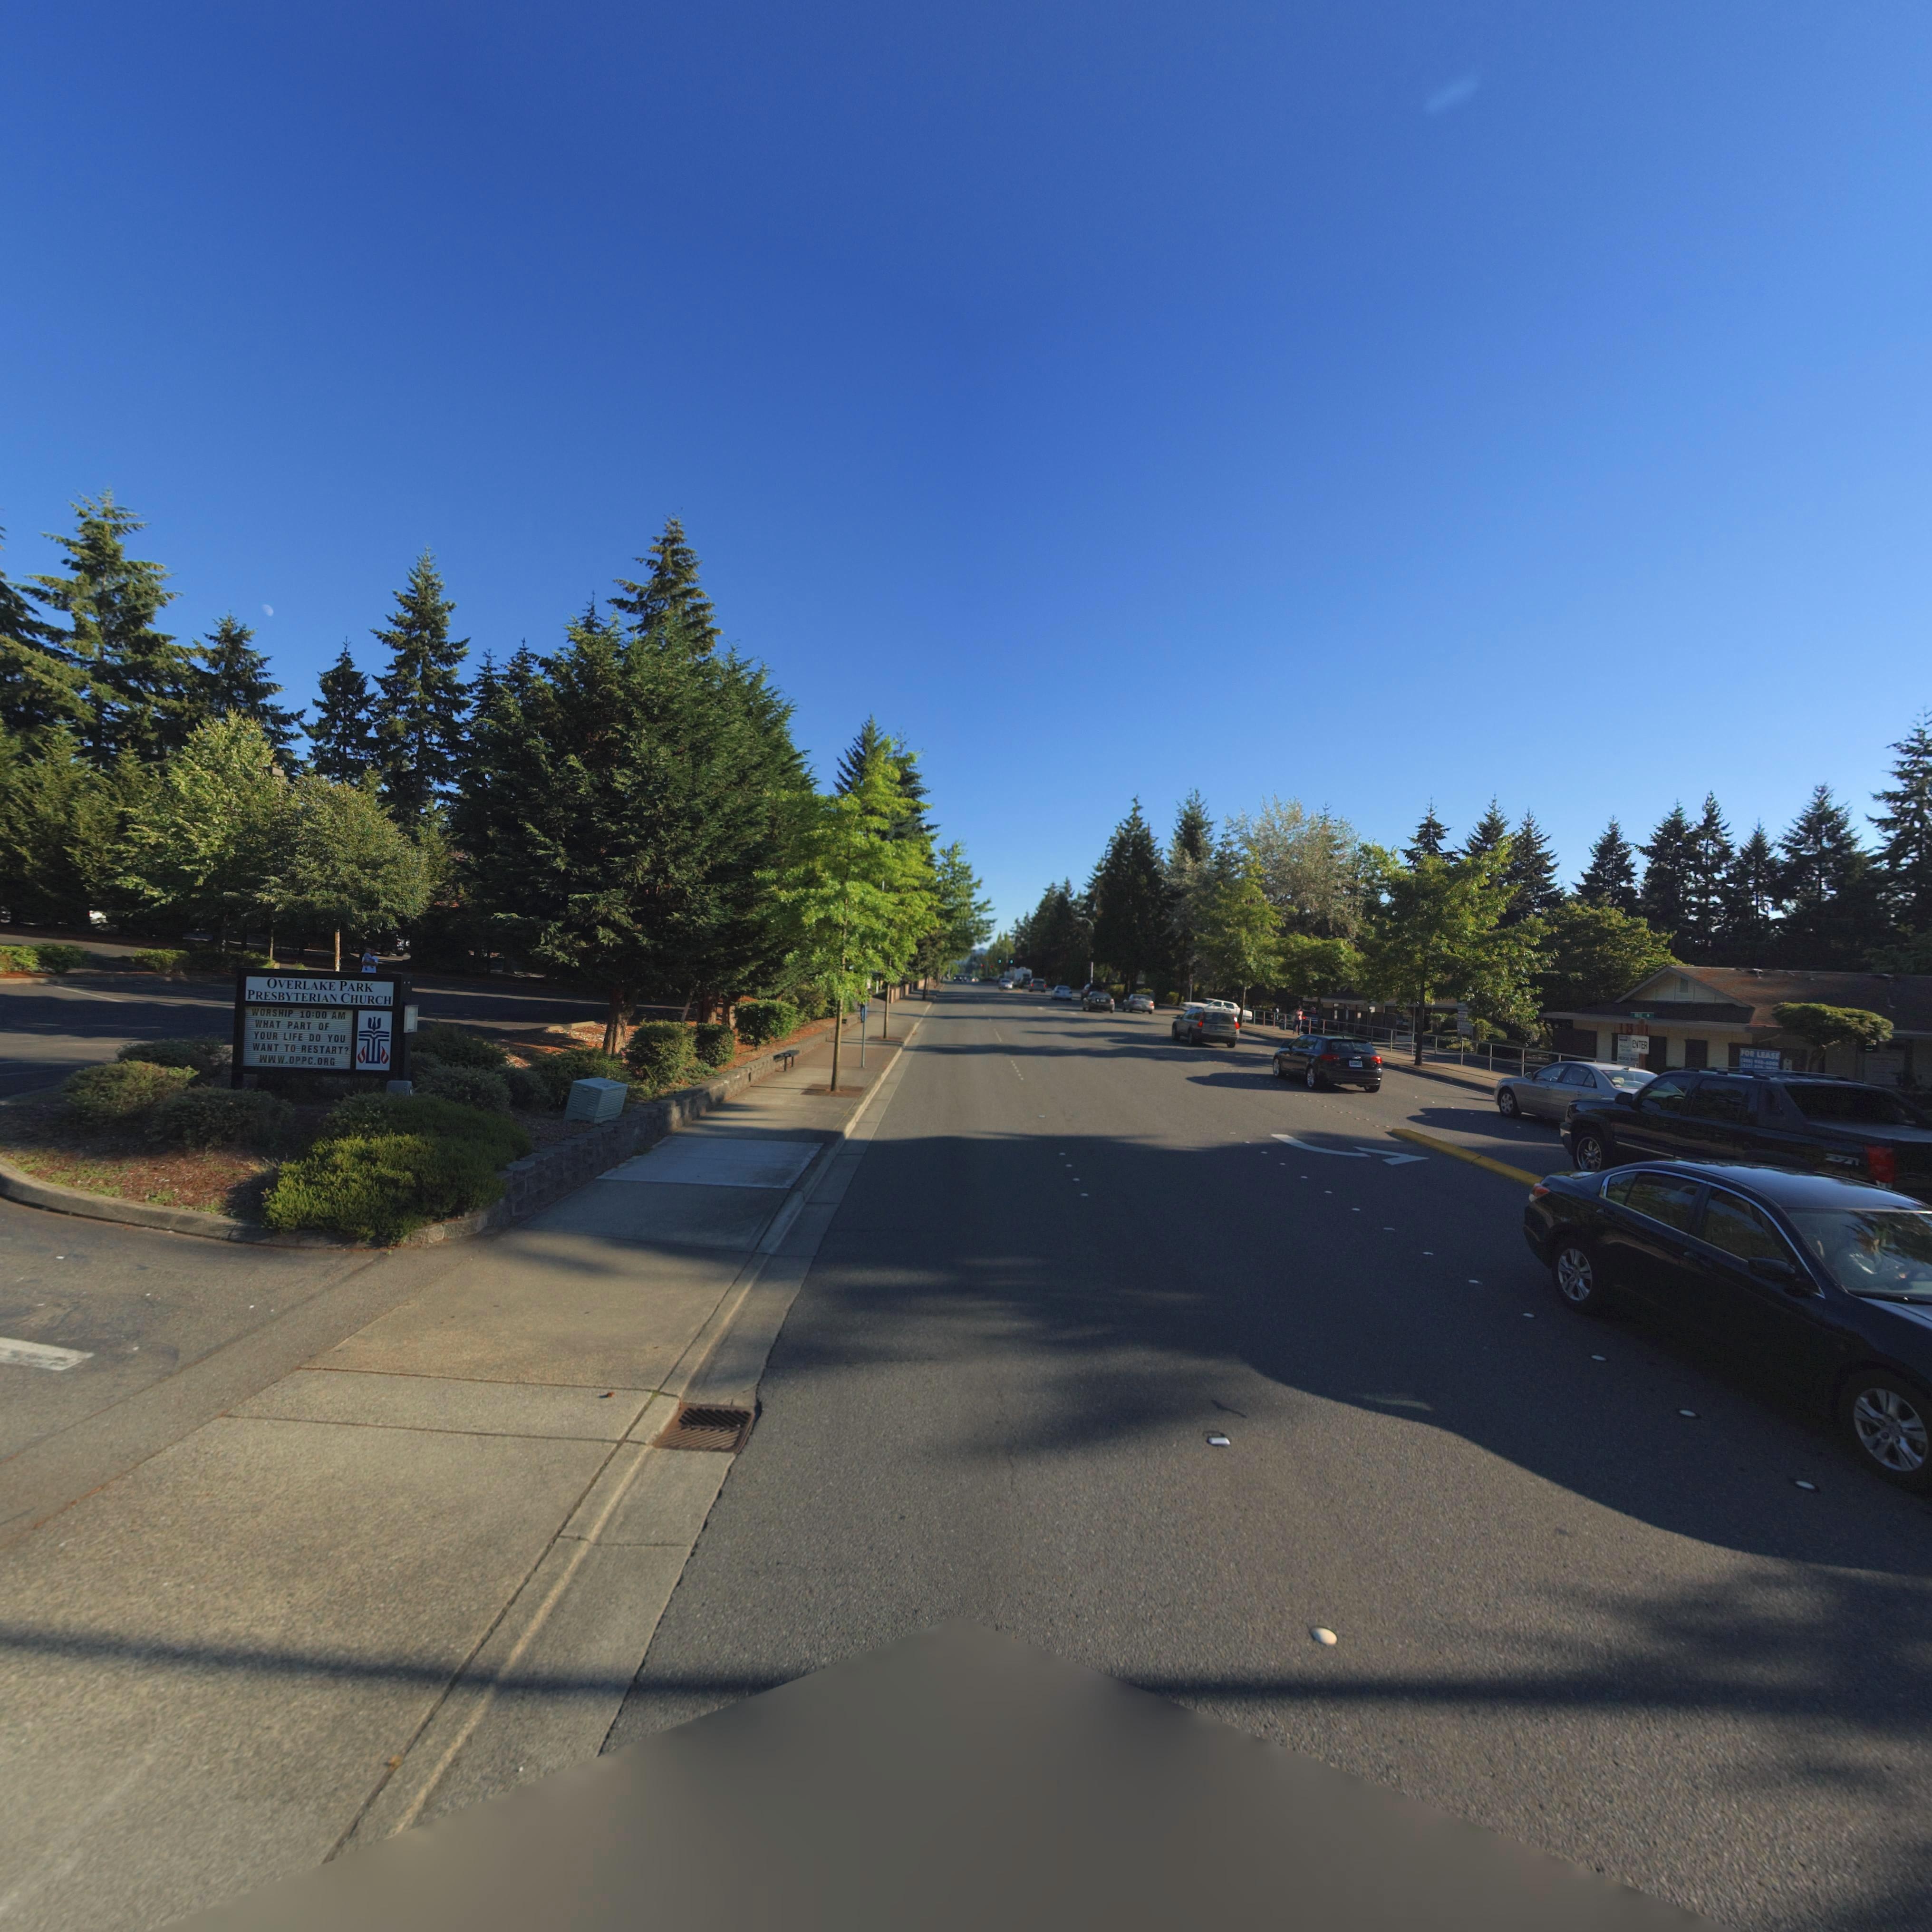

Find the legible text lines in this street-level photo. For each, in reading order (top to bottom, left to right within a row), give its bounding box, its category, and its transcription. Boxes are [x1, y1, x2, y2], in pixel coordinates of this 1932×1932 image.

[265, 976, 373, 993] None: OVERLAKE PARK
[244, 989, 393, 1005] None: PRESBYTERIAN CHURCH
[249, 1008, 347, 1019] None: WORSHIP 10:00 AM
[251, 1031, 347, 1042] None: YOUR LIFE DO YOU
[250, 1043, 349, 1055] None: WANT TO RESTART?
[255, 1054, 336, 1066] None: WWW.OPPC.ORG